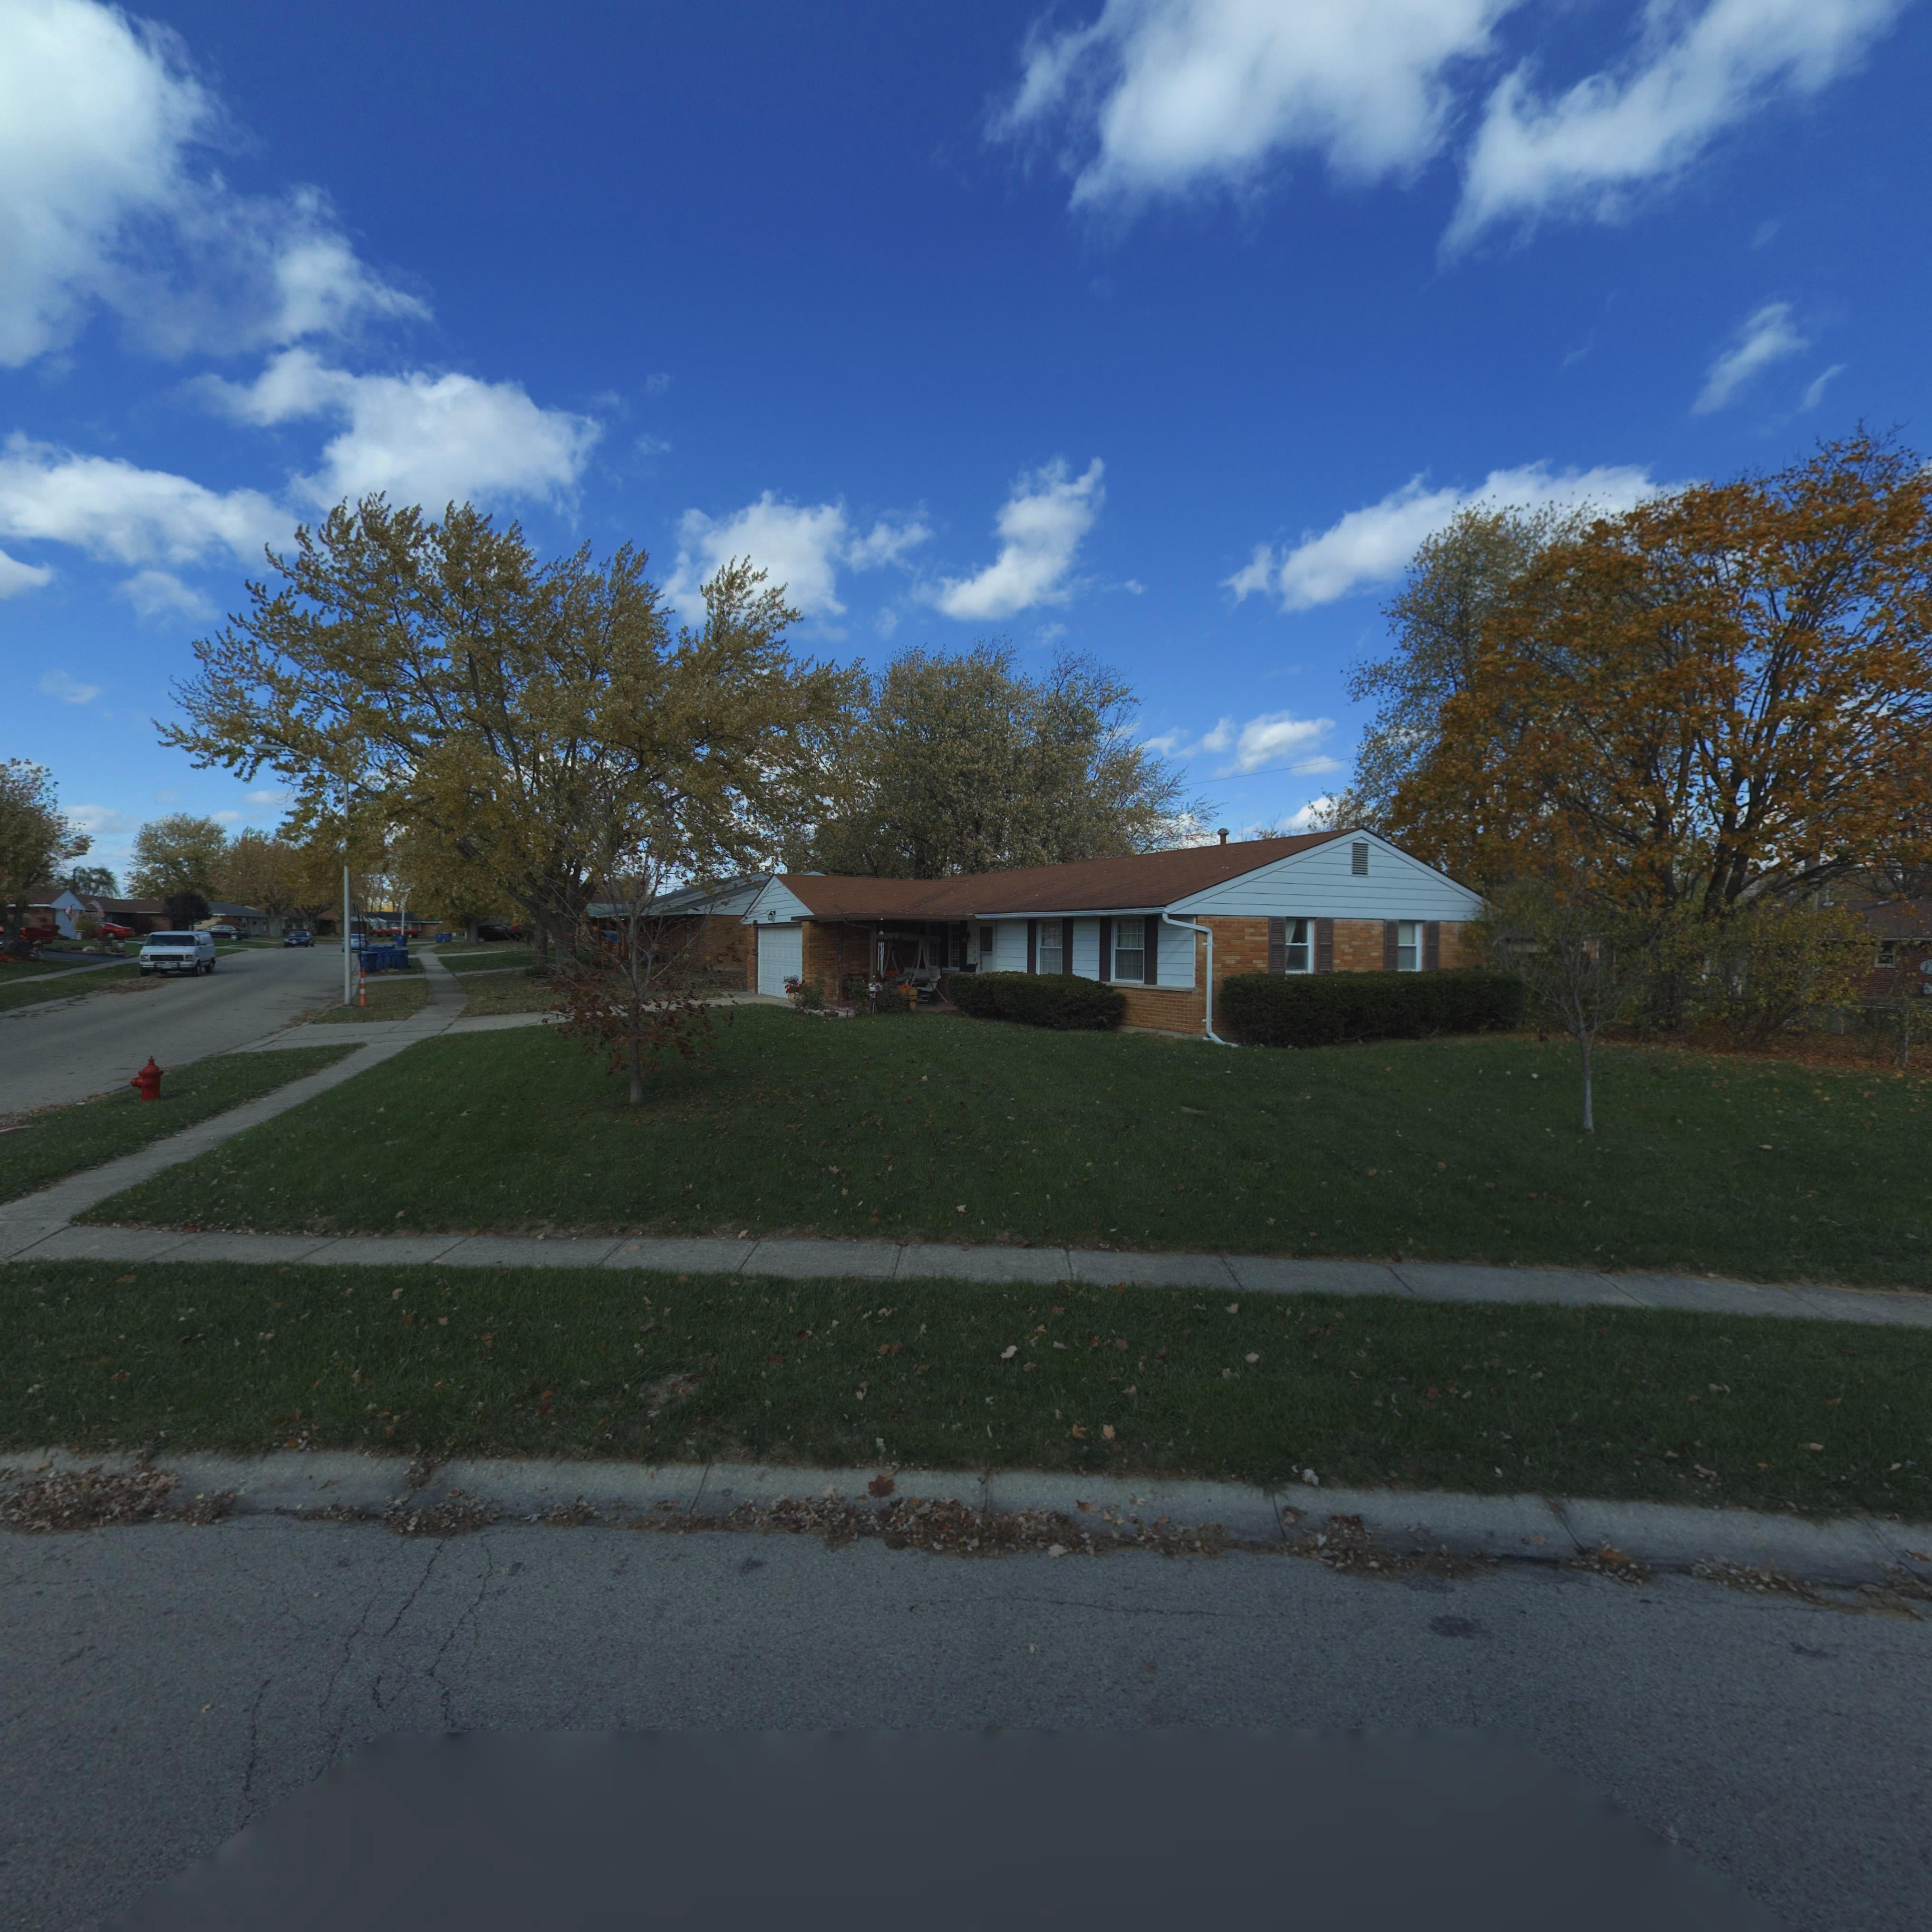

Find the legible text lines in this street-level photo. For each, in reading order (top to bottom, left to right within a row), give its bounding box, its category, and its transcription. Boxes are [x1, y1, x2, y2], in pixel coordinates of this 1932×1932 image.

[973, 932, 976, 962] StreetNumber: 7*00